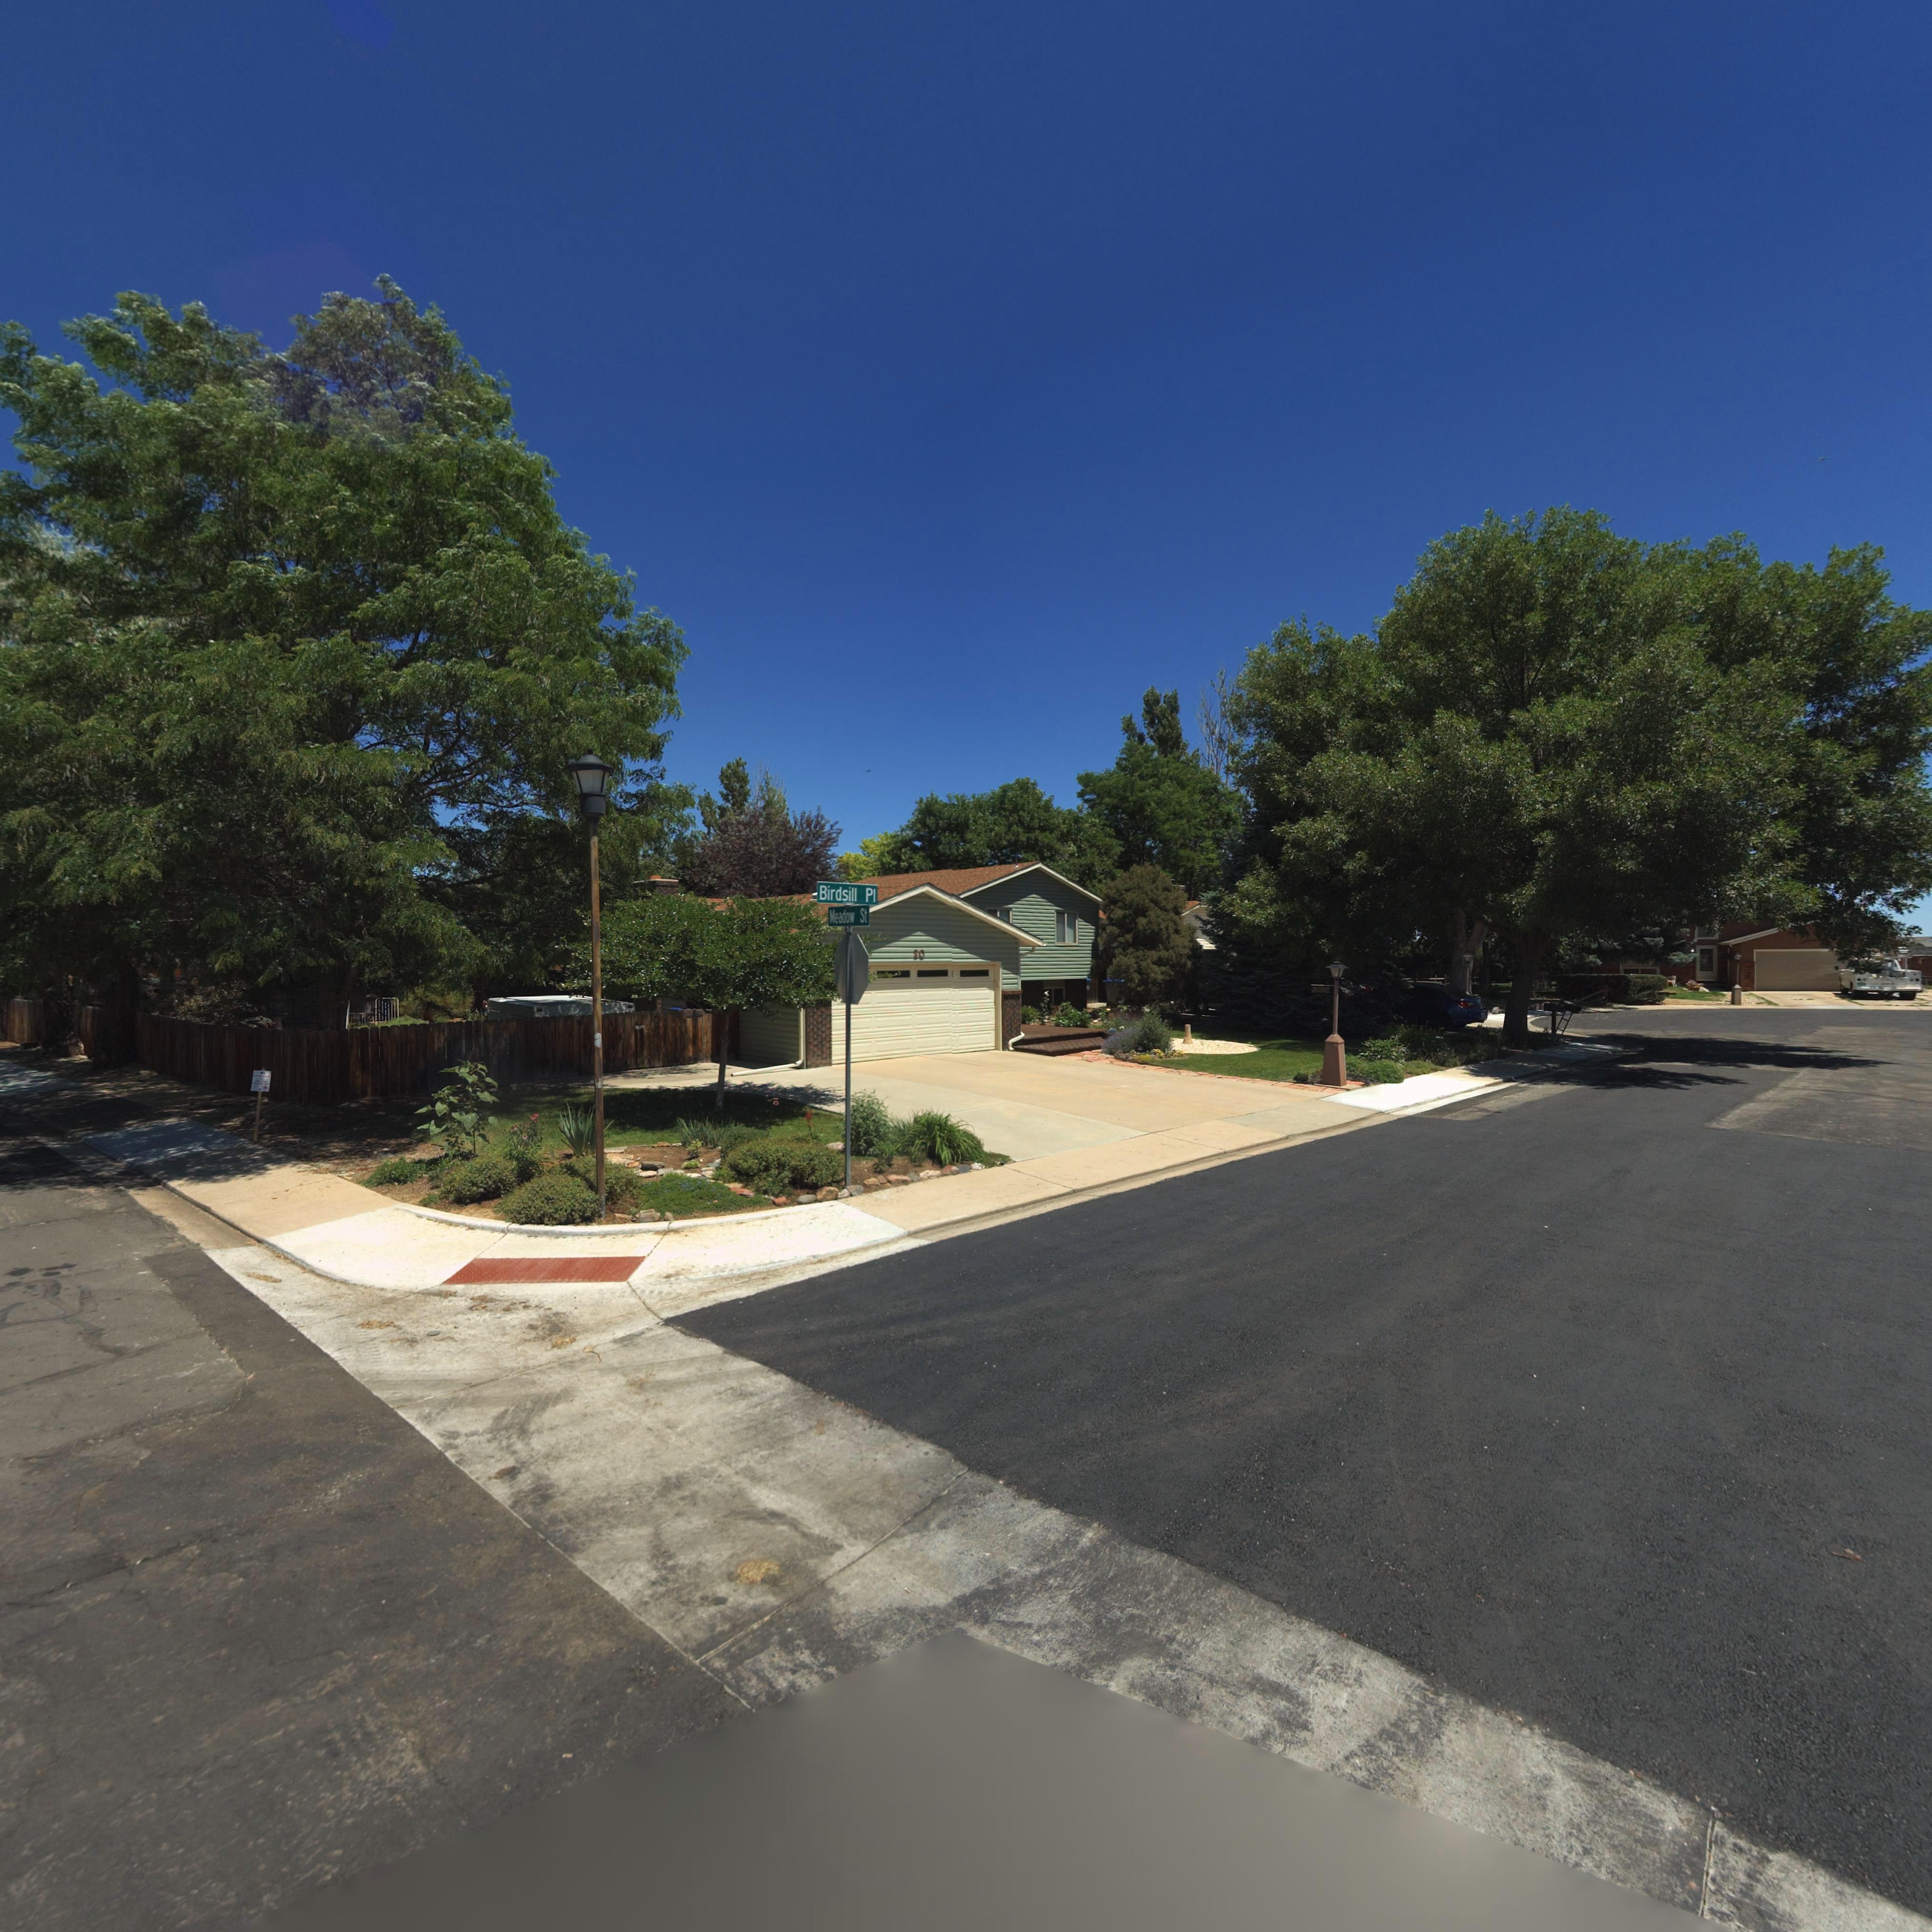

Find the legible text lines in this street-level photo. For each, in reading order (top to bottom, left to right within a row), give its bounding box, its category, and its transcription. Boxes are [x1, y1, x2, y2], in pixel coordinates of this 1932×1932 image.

[819, 885, 876, 903] StreetName: Birdsill Pl
[830, 908, 867, 924] StreetName: Meadow St
[913, 949, 925, 958] StreetNumber: 20